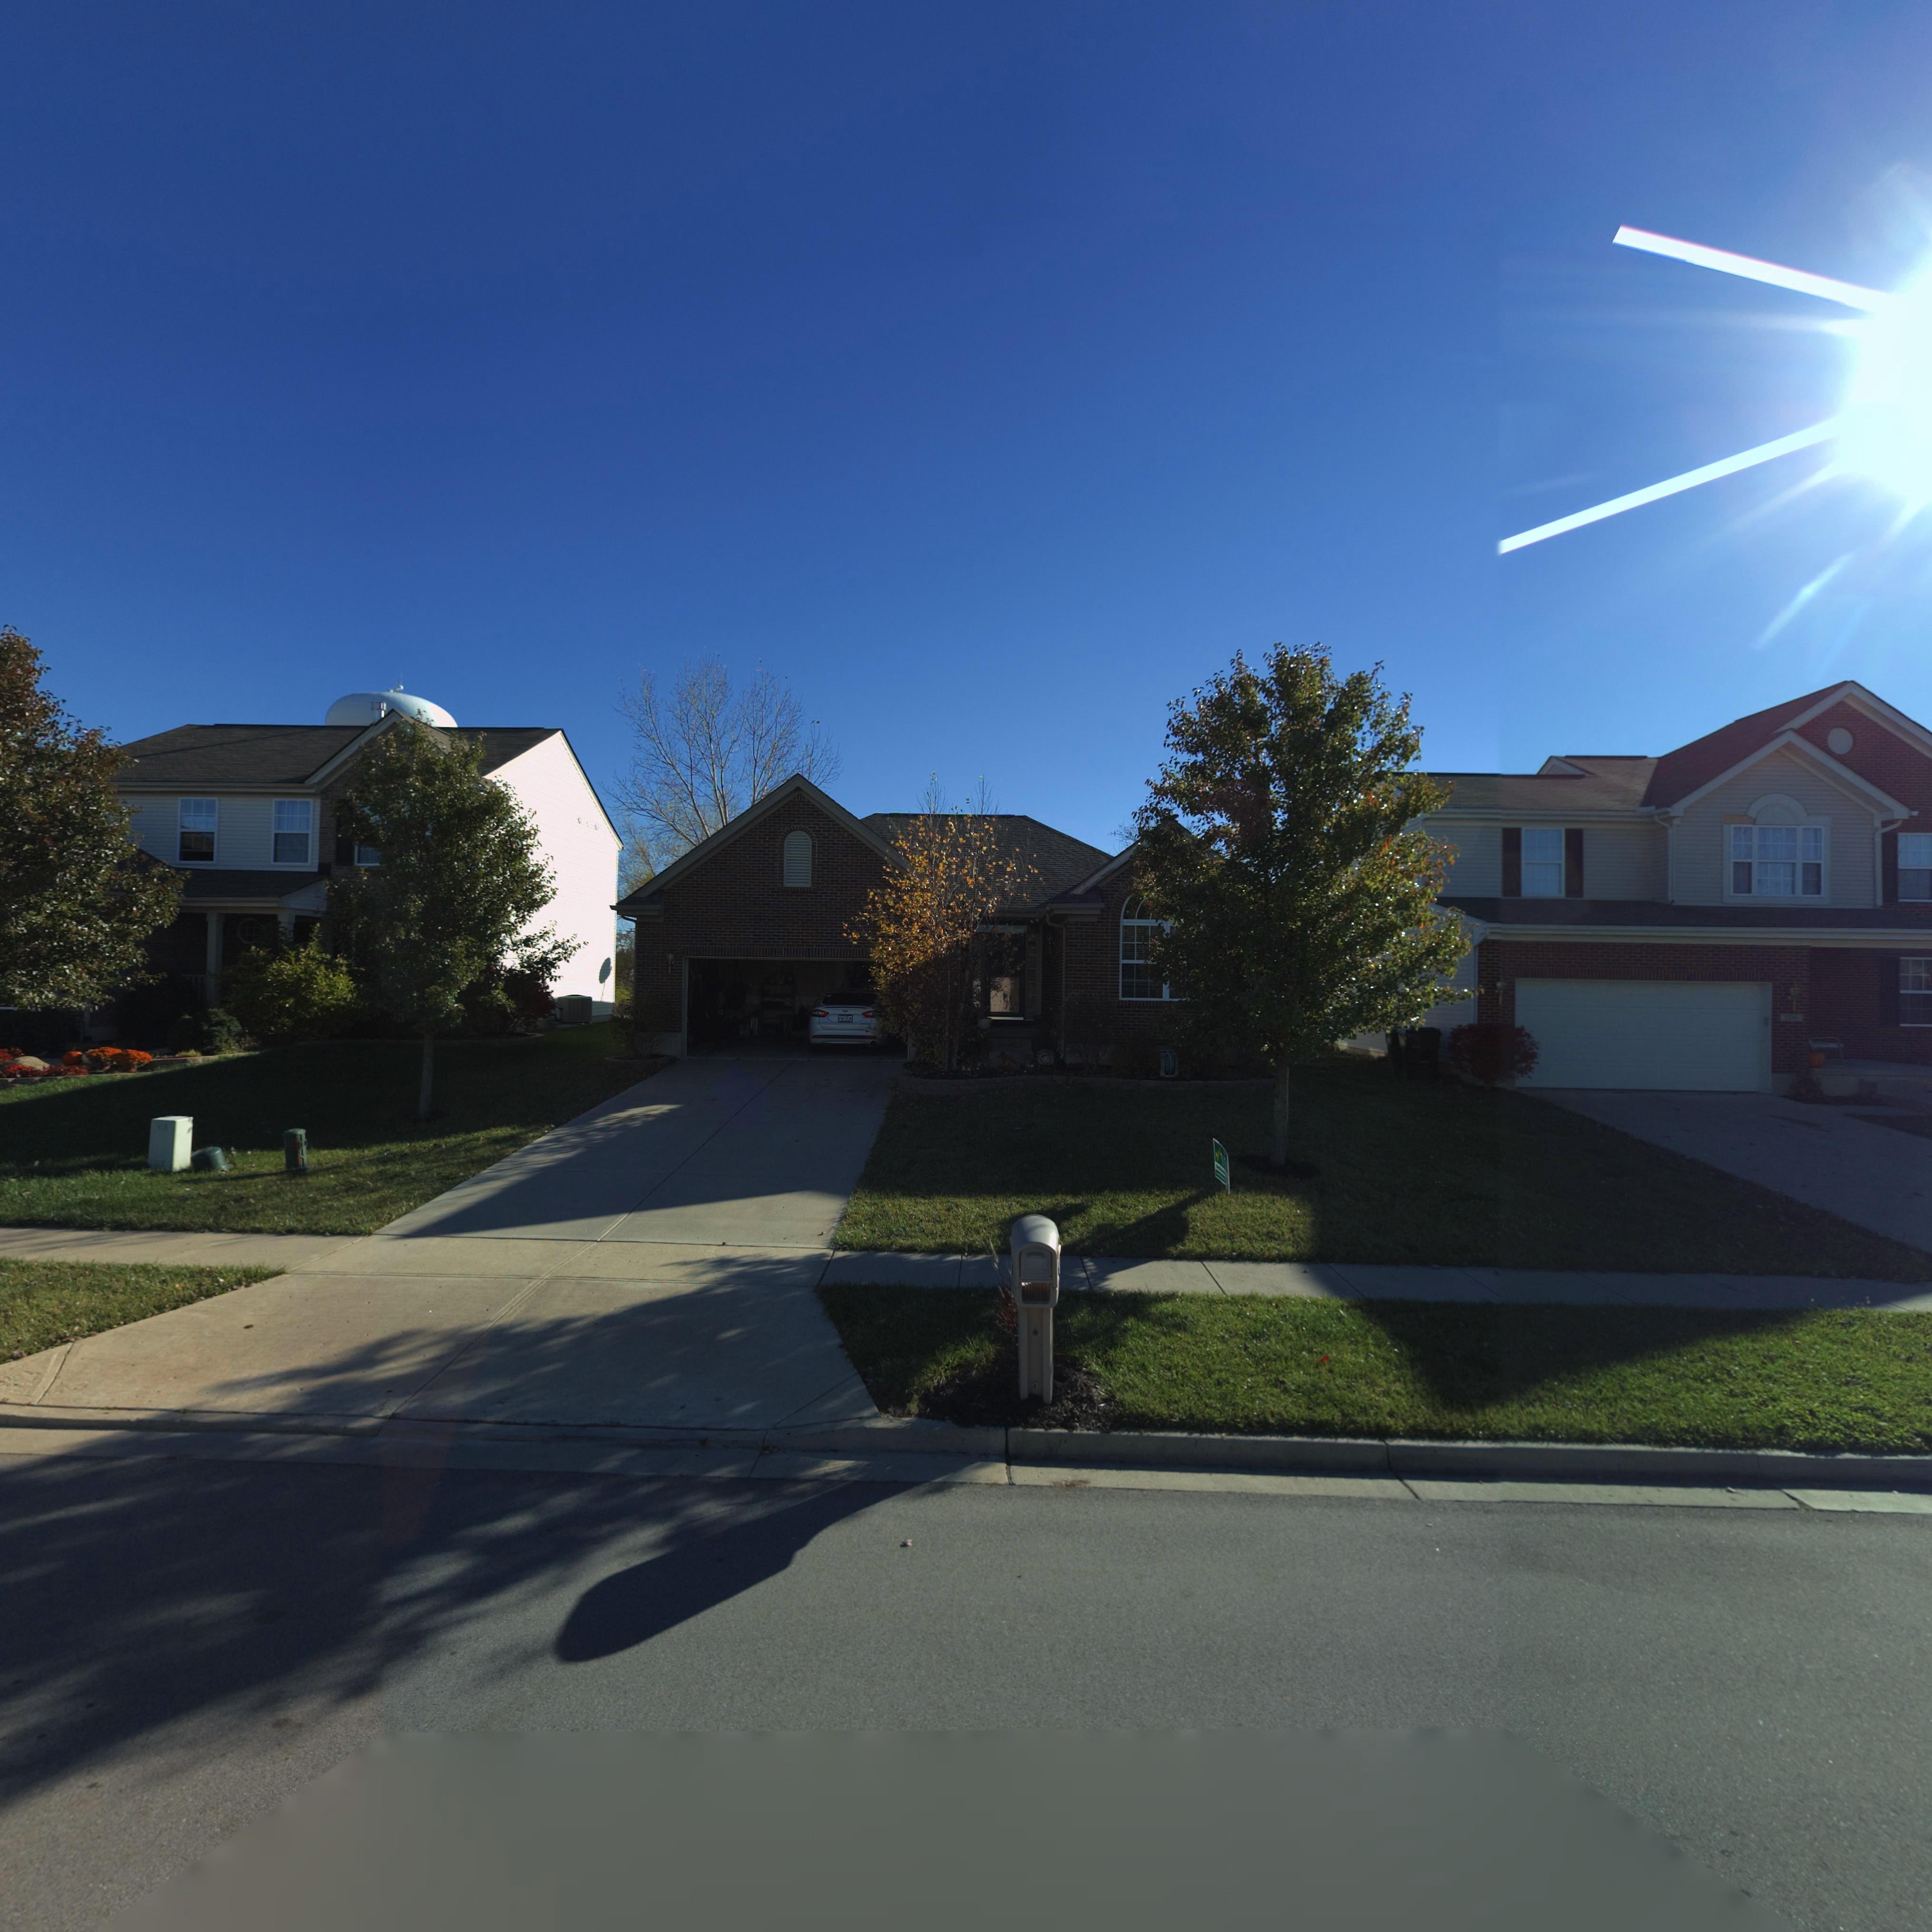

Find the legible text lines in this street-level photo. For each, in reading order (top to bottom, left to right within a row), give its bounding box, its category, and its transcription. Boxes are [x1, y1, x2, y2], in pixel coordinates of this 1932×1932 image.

[1783, 1013, 1802, 1022] StreetNumber: *0*